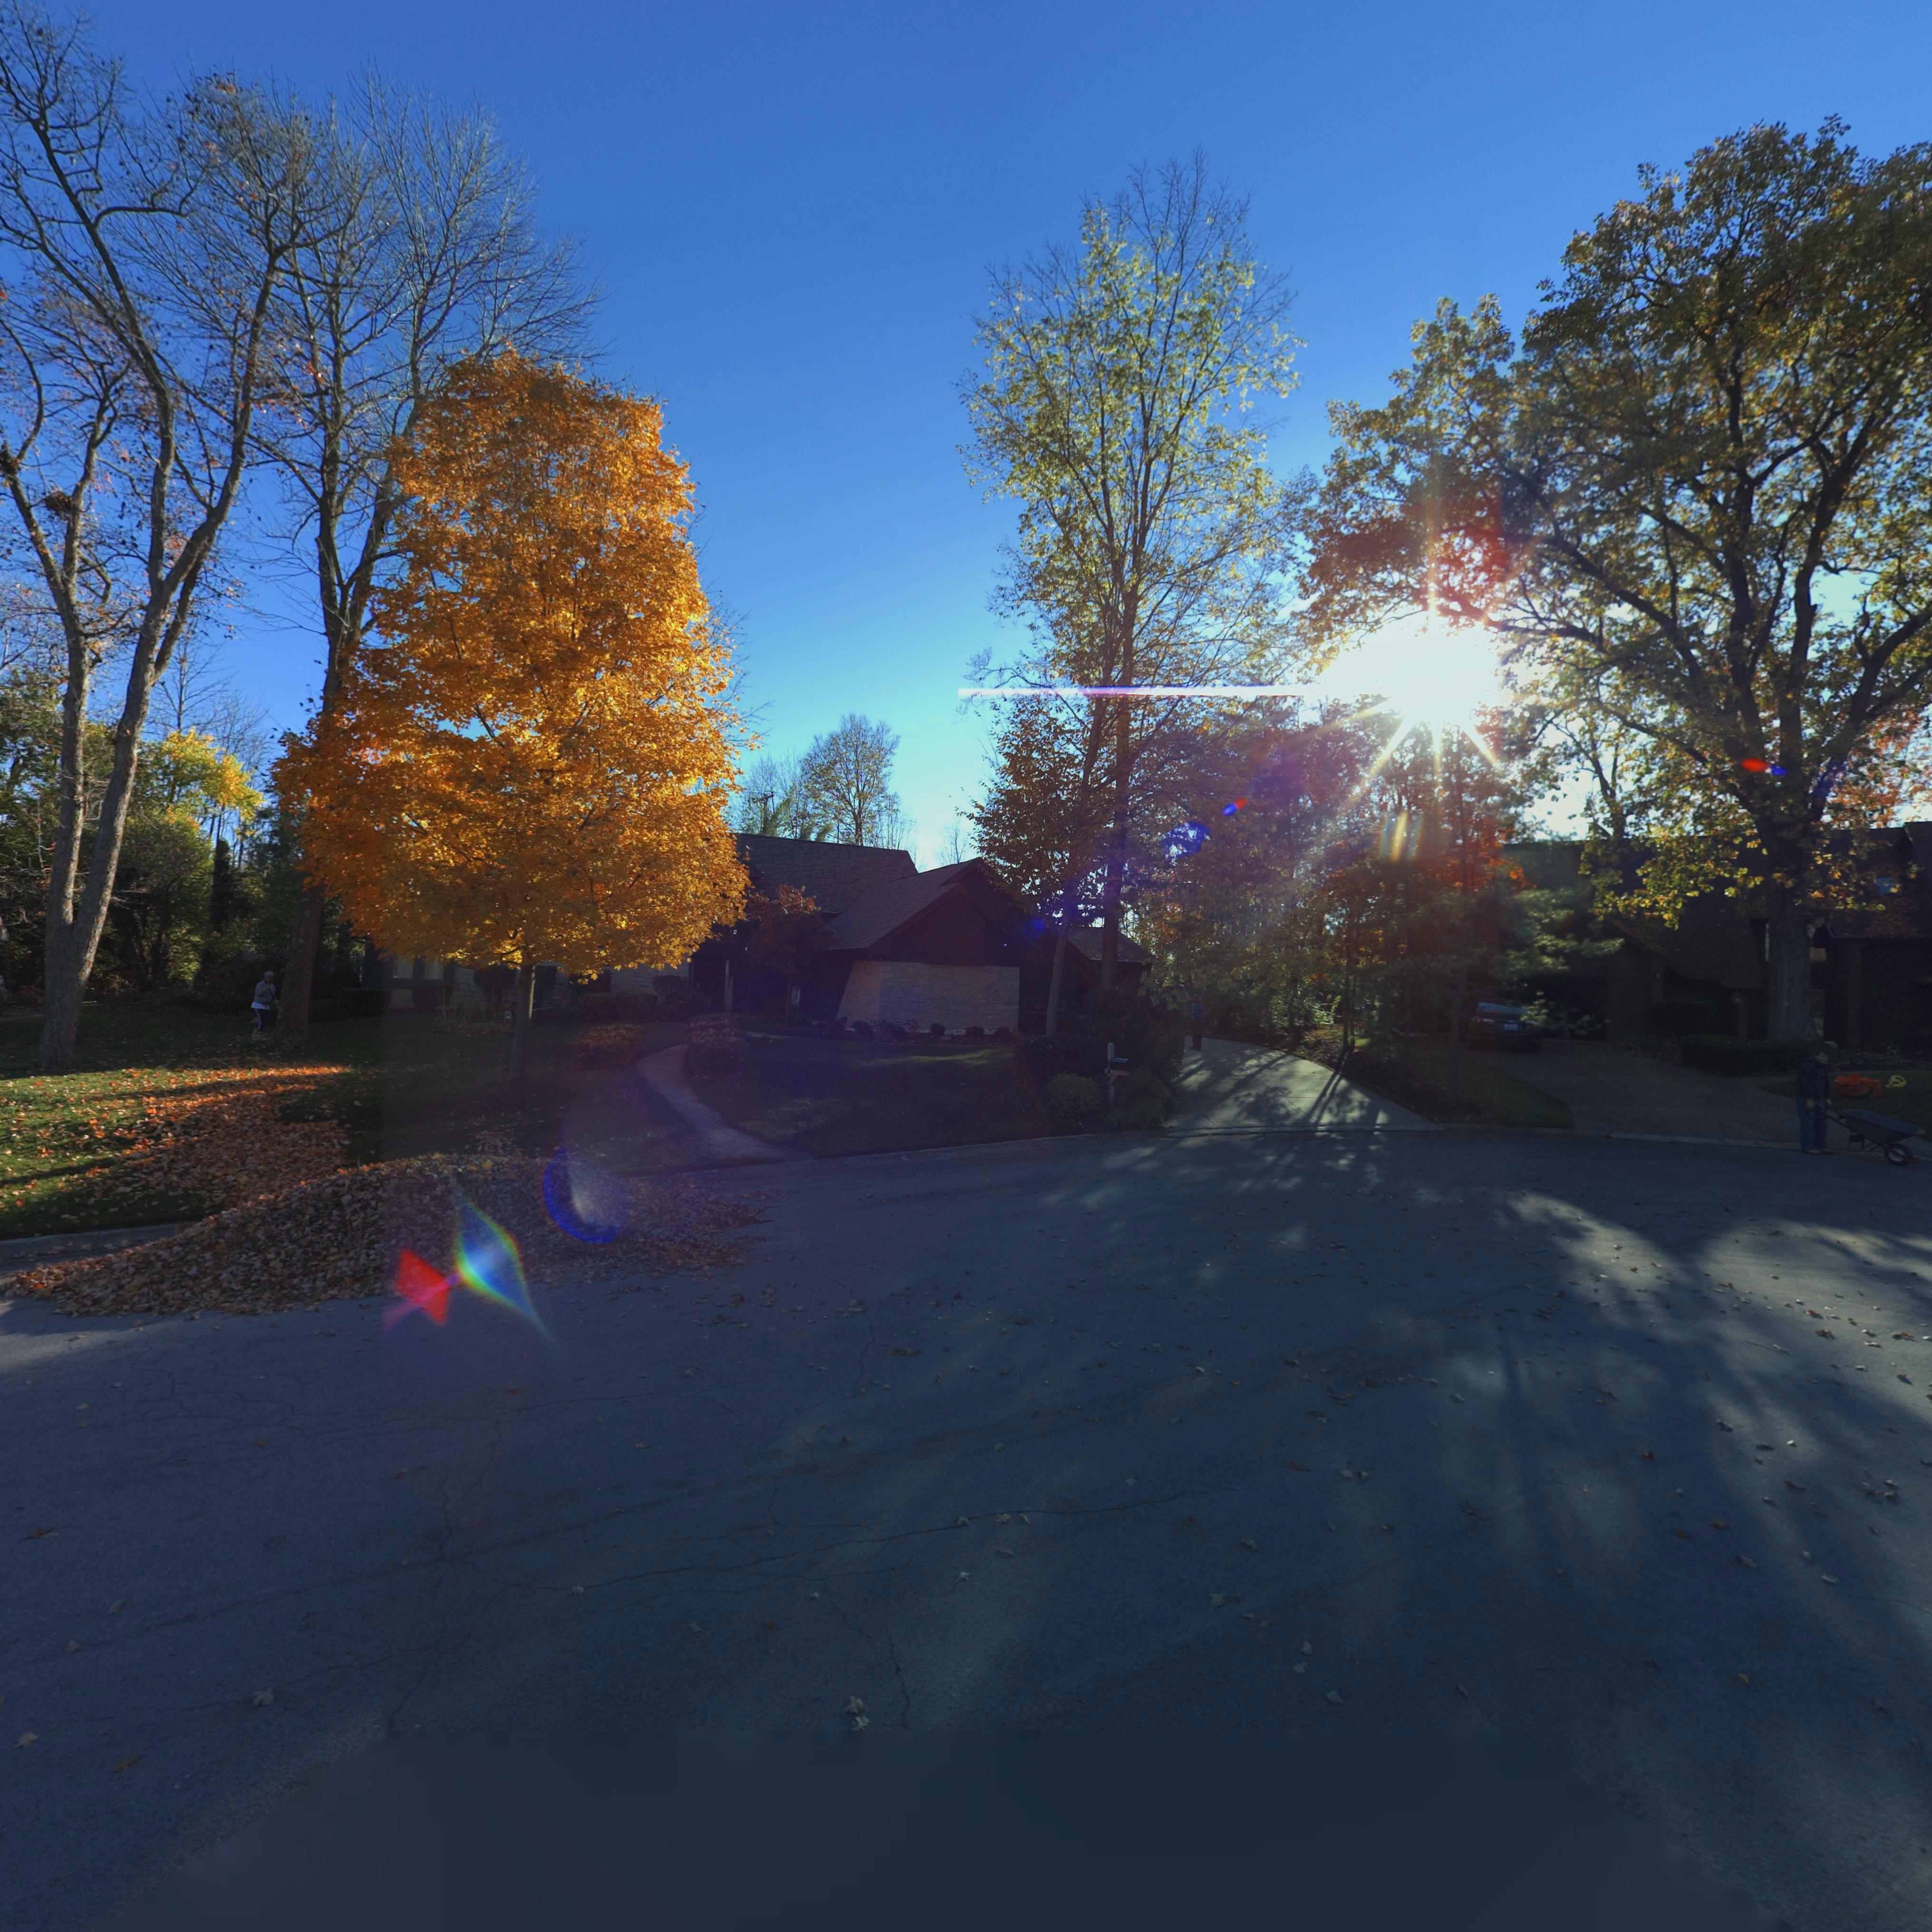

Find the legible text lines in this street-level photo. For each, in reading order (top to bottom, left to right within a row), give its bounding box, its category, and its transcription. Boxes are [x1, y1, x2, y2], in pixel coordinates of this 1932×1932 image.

[1106, 1059, 1112, 1091] StreetNumber: 6*42